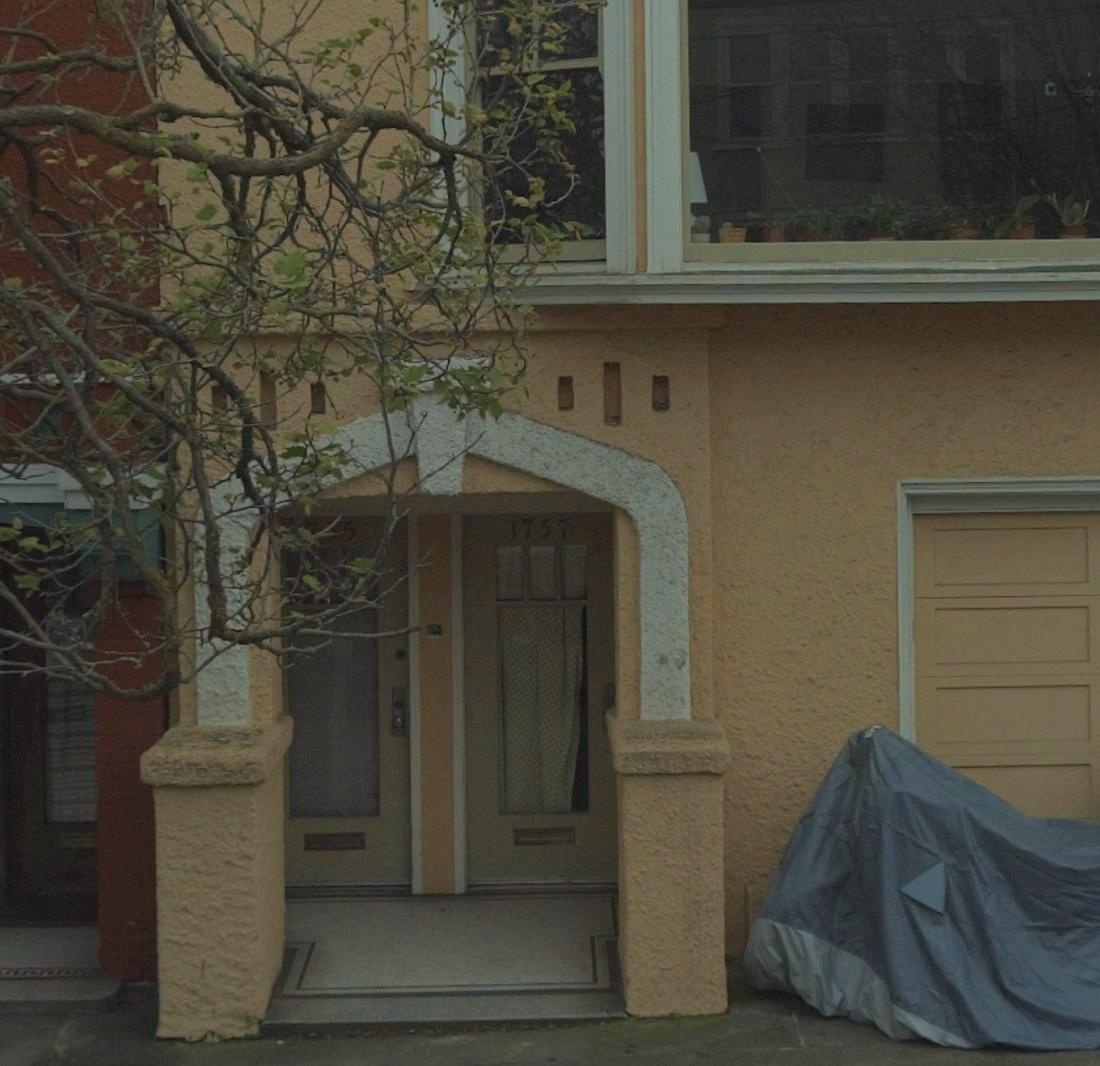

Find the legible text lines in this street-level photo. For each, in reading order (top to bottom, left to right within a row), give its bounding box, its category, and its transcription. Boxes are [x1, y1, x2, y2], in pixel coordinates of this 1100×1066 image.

[343, 518, 356, 545] None: 5
[511, 517, 570, 542] StreetNumber: 1757